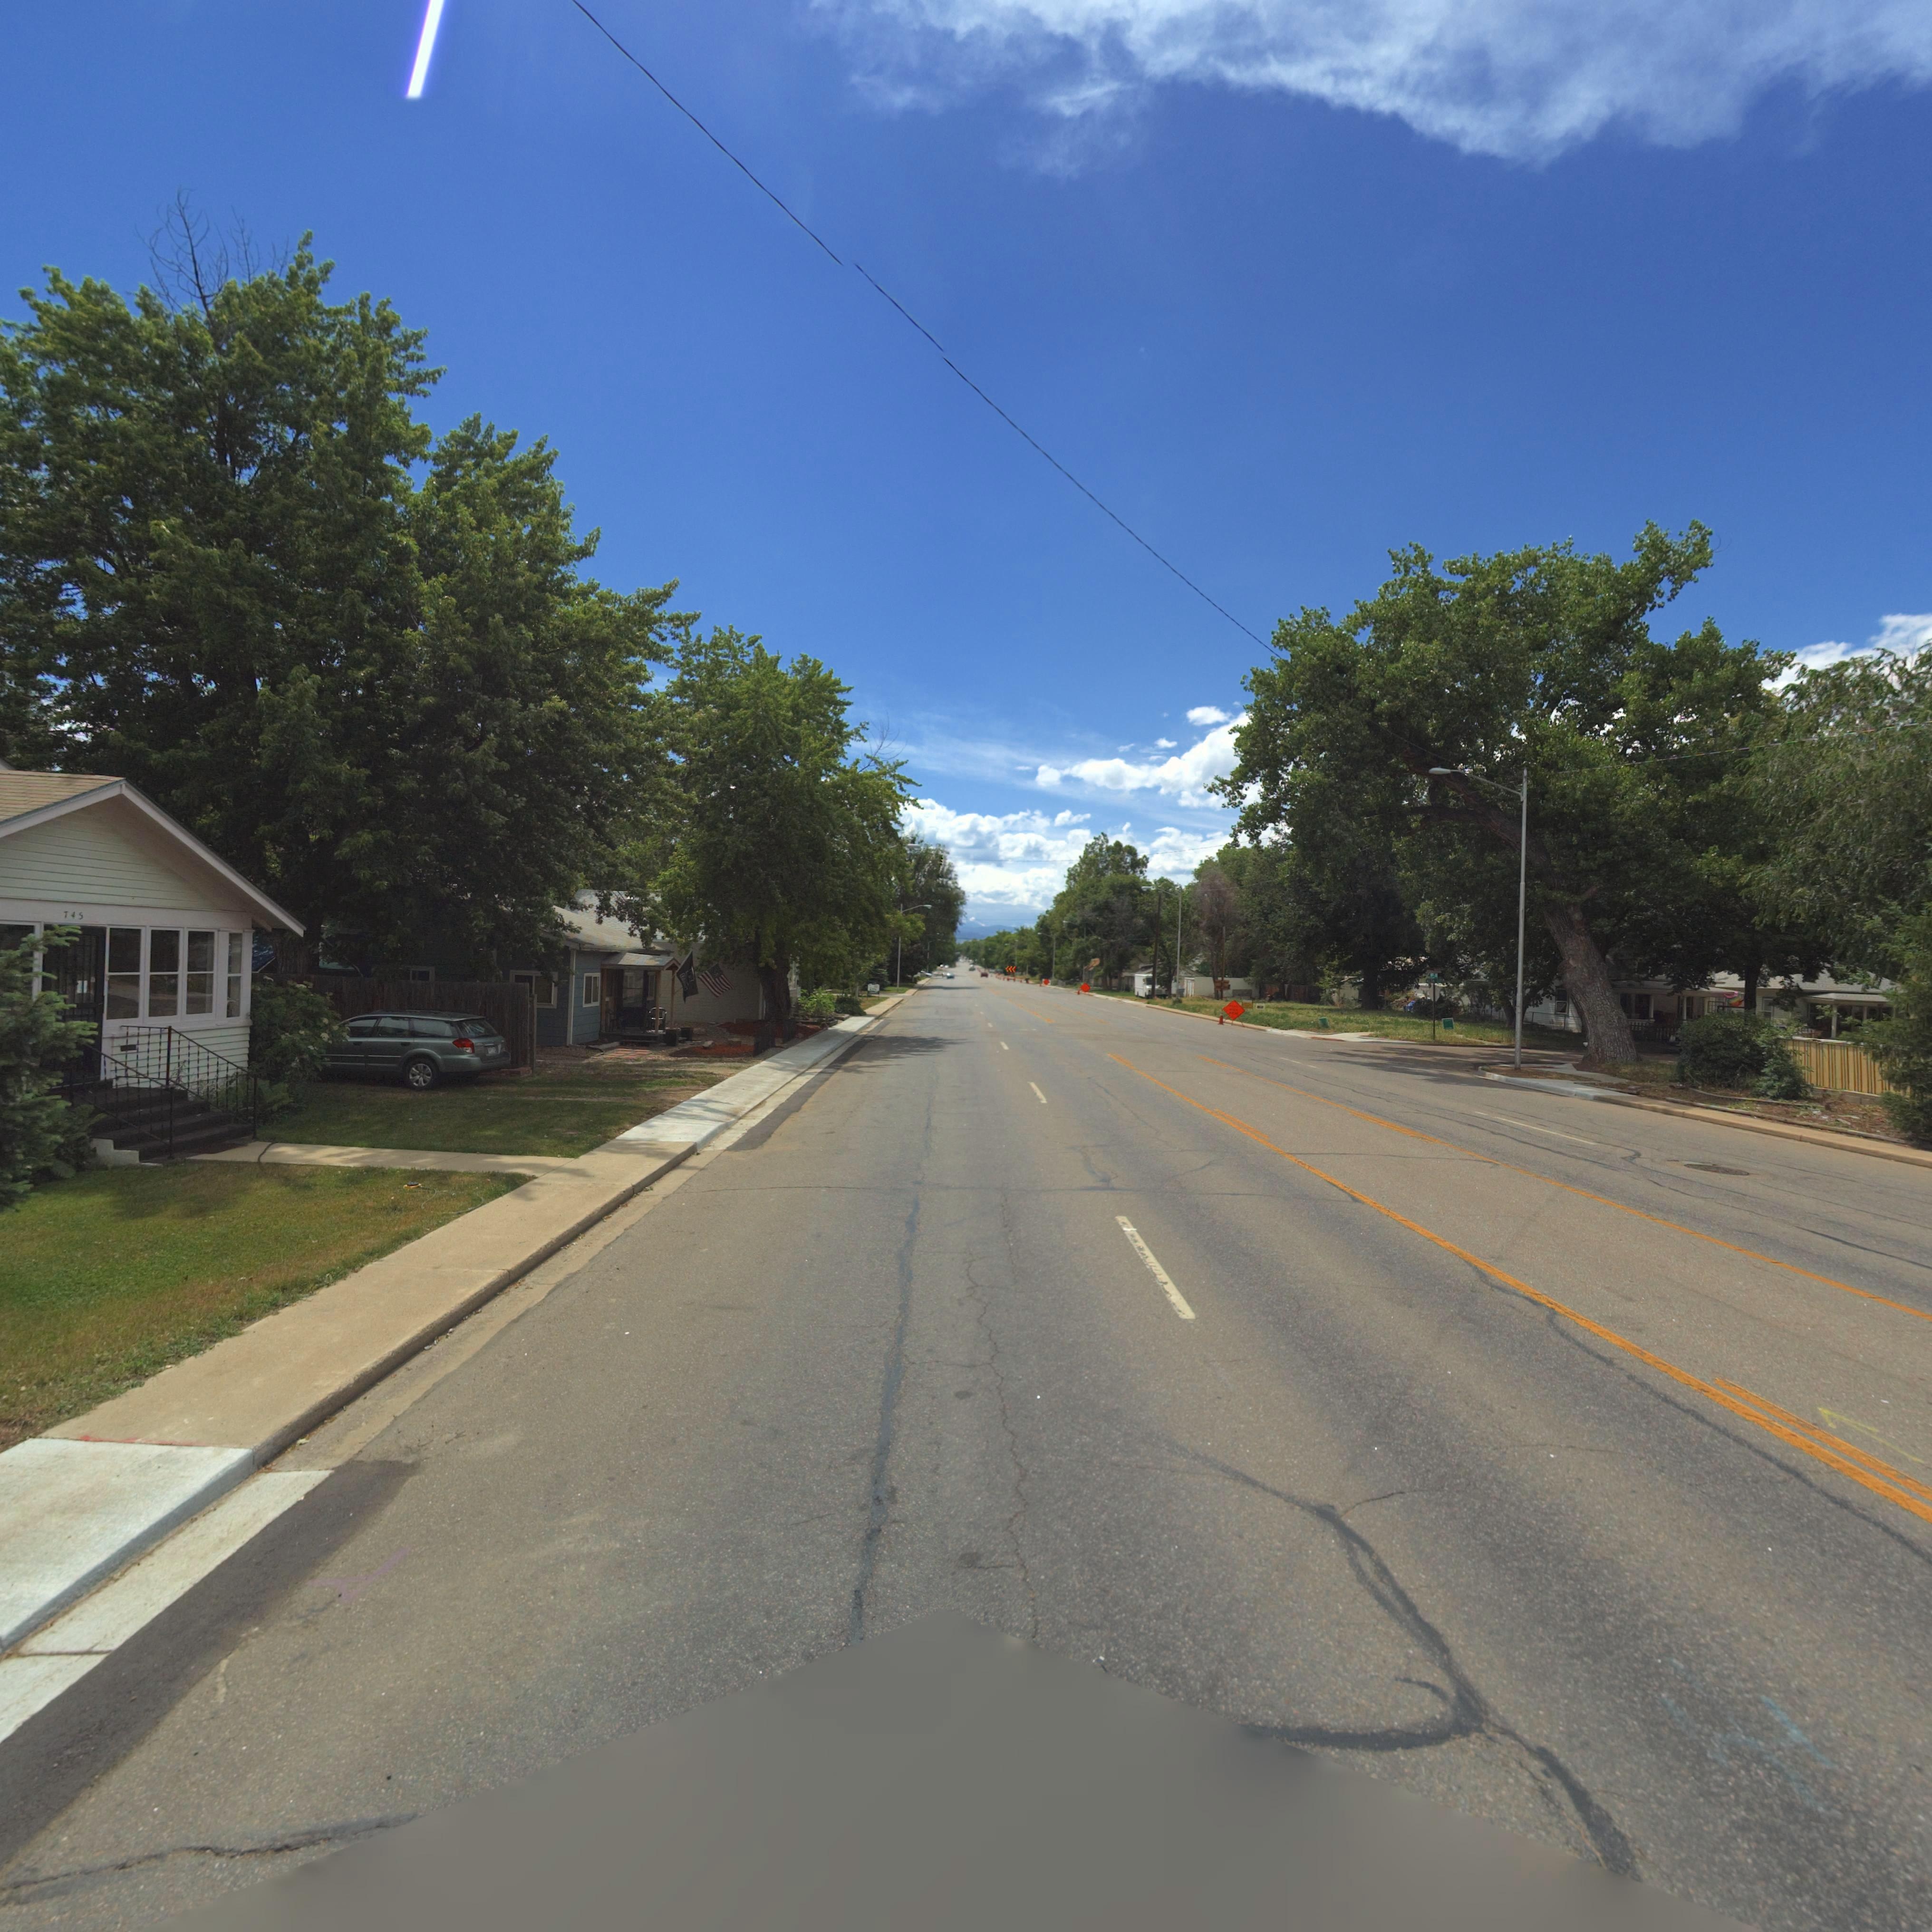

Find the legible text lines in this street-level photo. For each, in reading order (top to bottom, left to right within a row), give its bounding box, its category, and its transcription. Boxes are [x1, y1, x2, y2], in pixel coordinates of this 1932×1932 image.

[63, 911, 84, 920] StreetNumber: 745